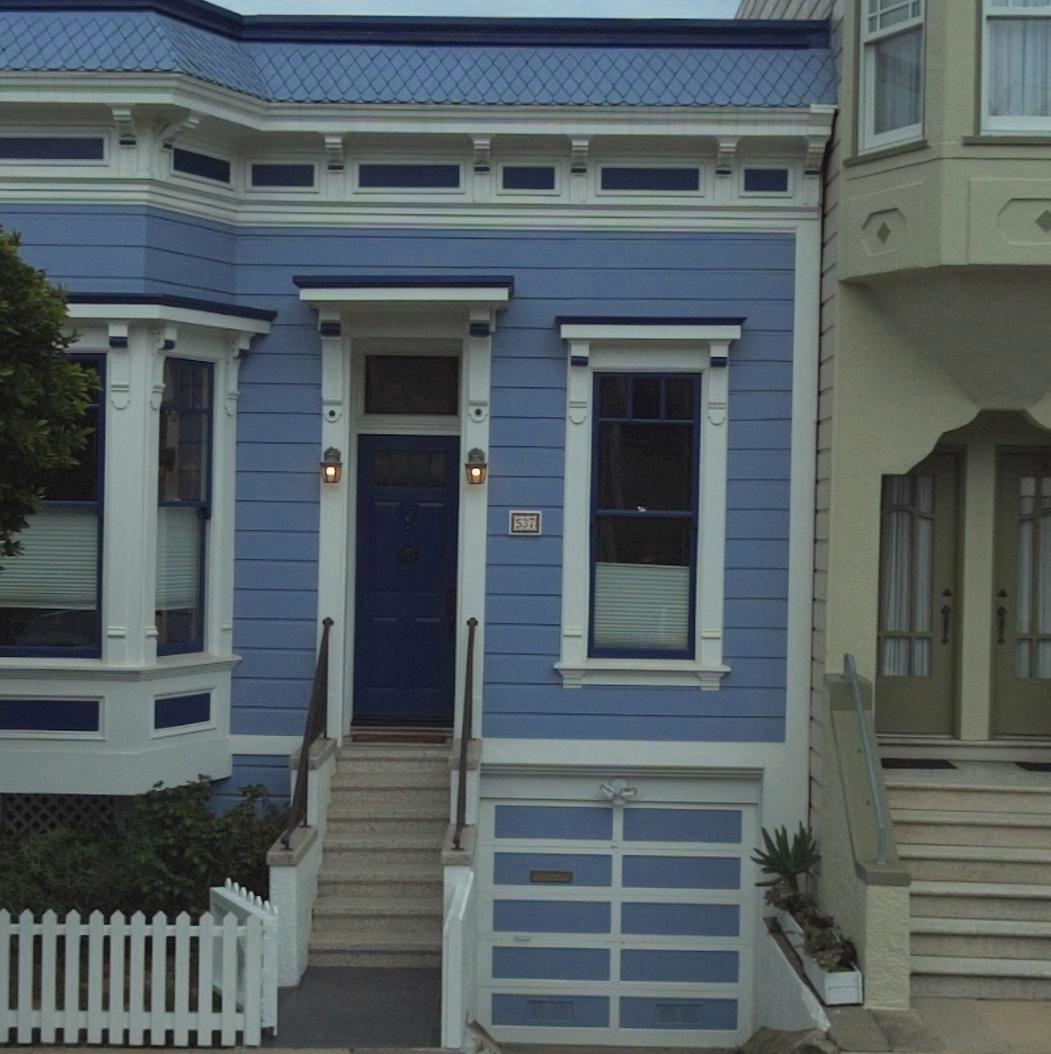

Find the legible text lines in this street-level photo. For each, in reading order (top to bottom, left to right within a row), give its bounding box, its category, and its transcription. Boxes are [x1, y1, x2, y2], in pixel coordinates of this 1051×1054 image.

[516, 517, 535, 528] StreetNumber: 537